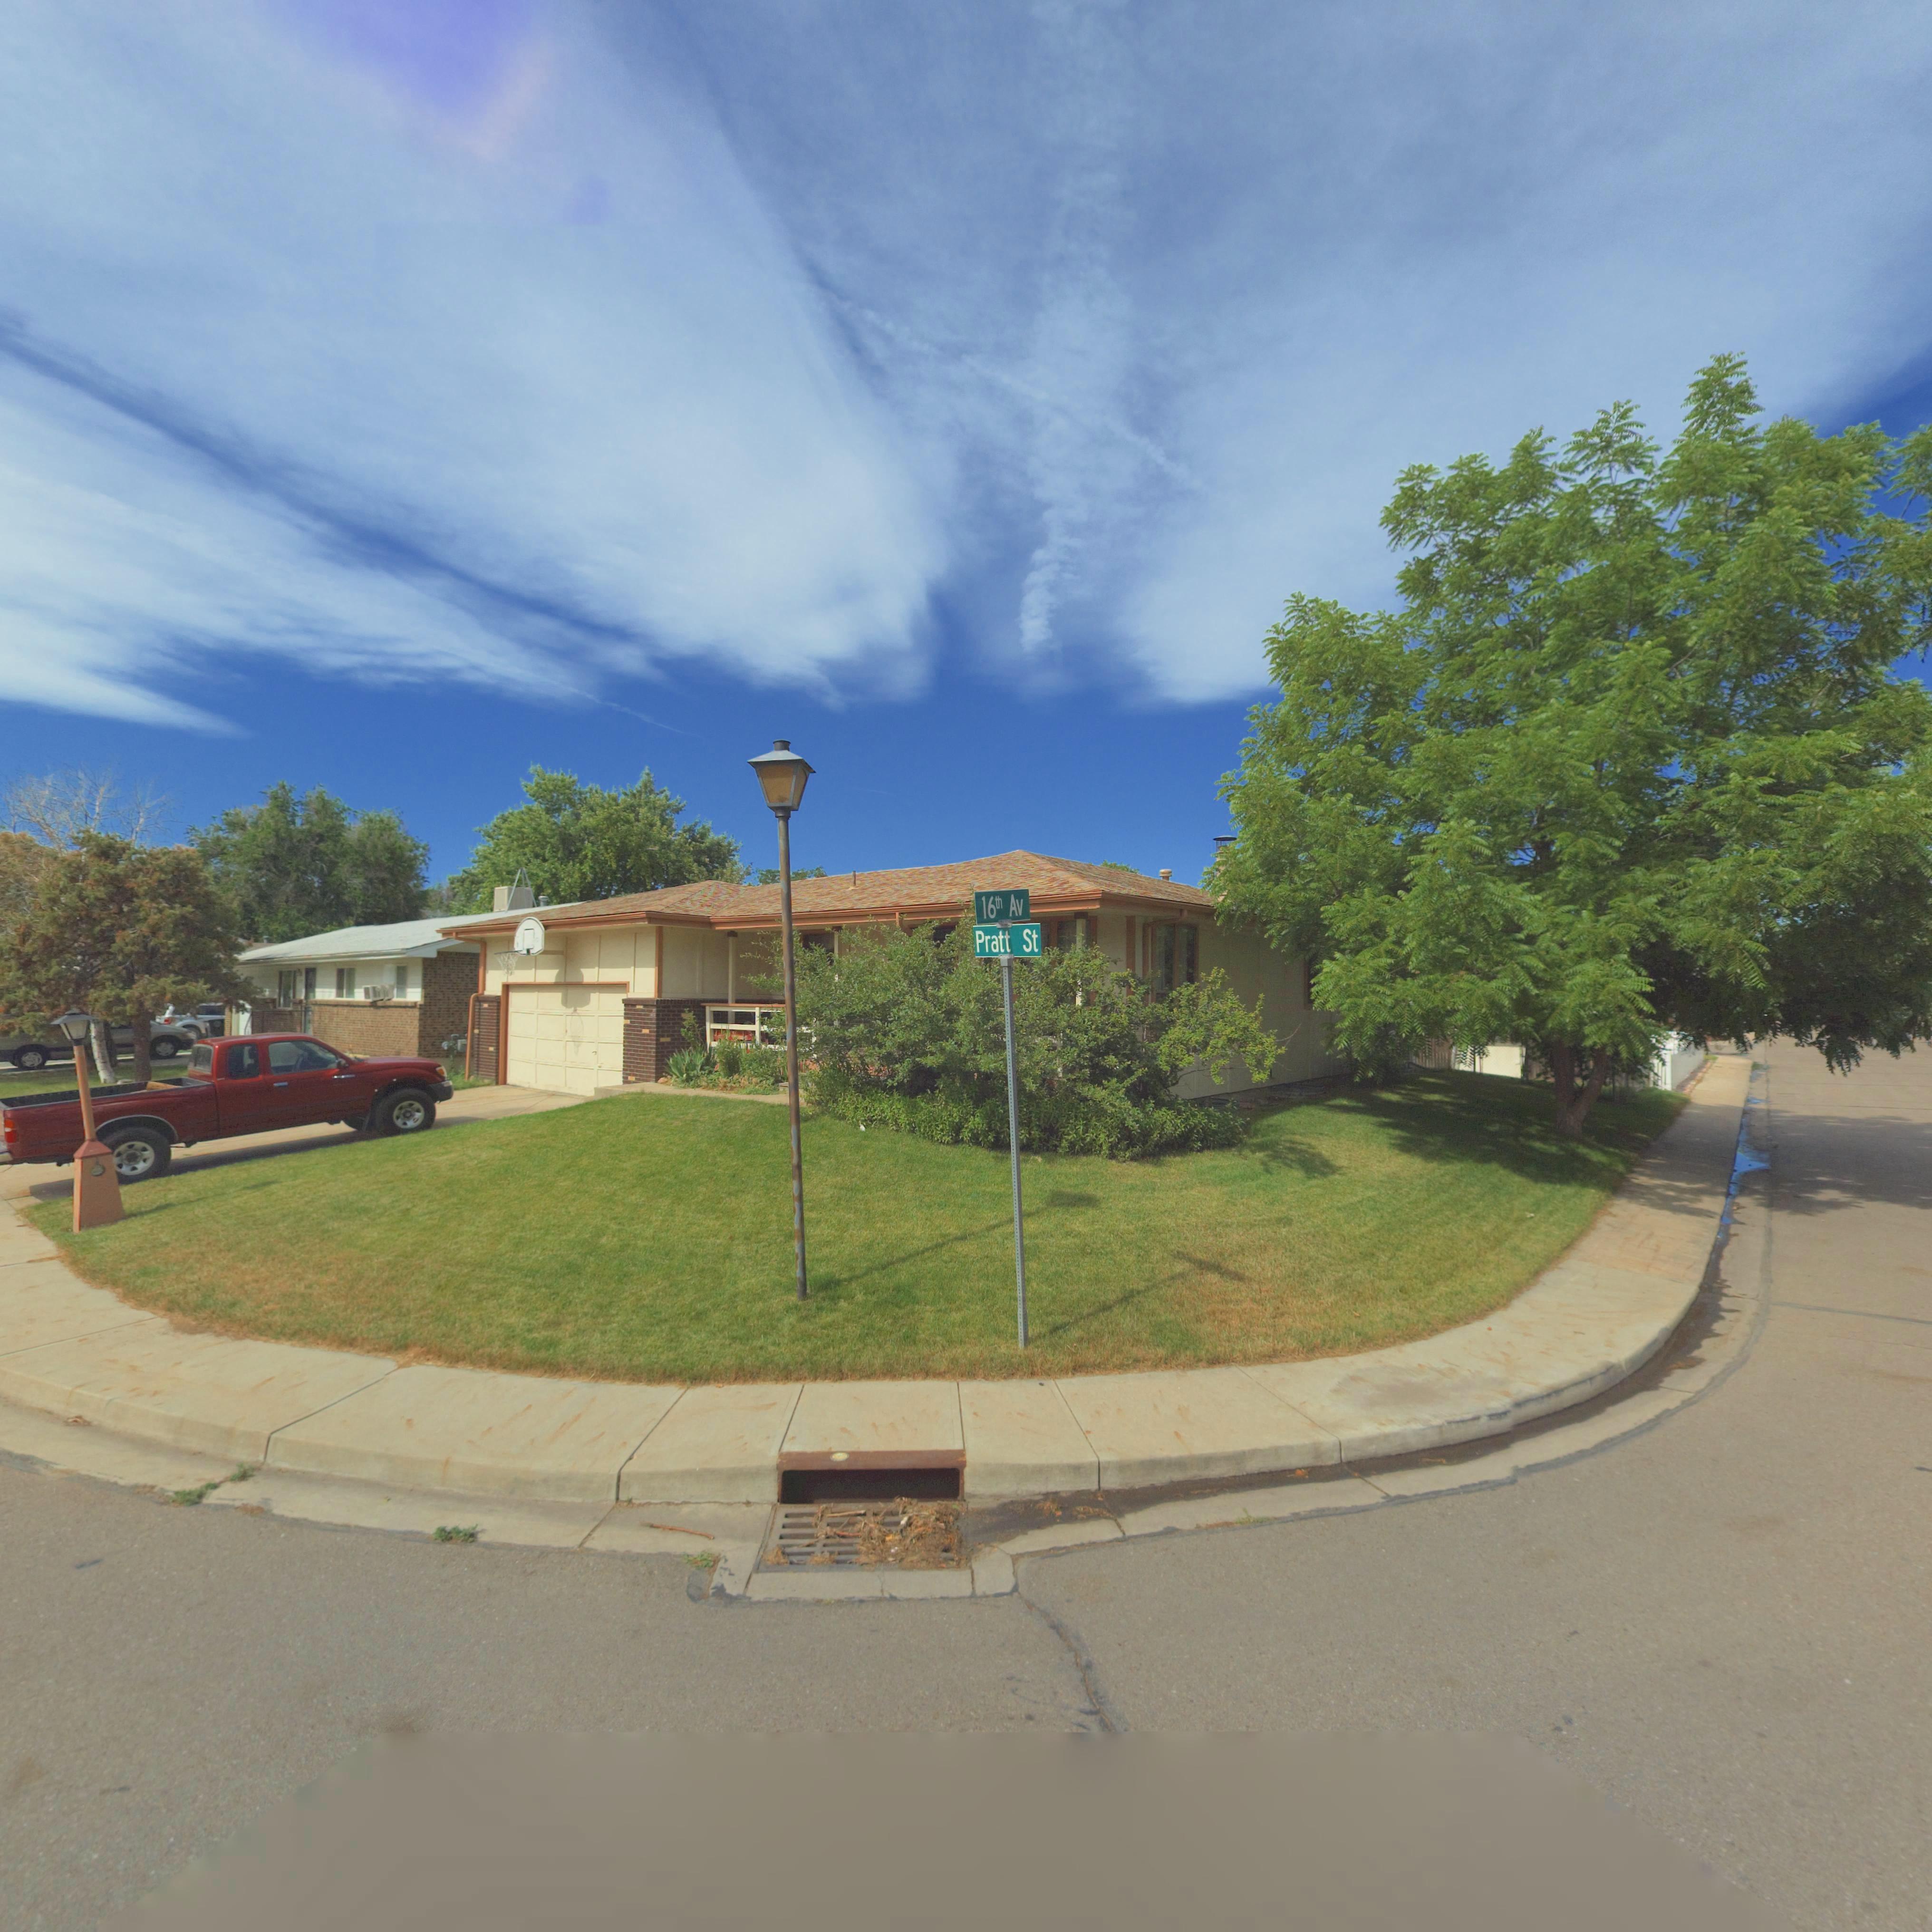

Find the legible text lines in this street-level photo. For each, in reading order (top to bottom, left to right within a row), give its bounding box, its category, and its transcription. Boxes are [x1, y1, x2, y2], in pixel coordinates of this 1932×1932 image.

[981, 893, 1024, 919] StreetName: 16th Av
[975, 928, 1038, 953] StreetName: Pratt St